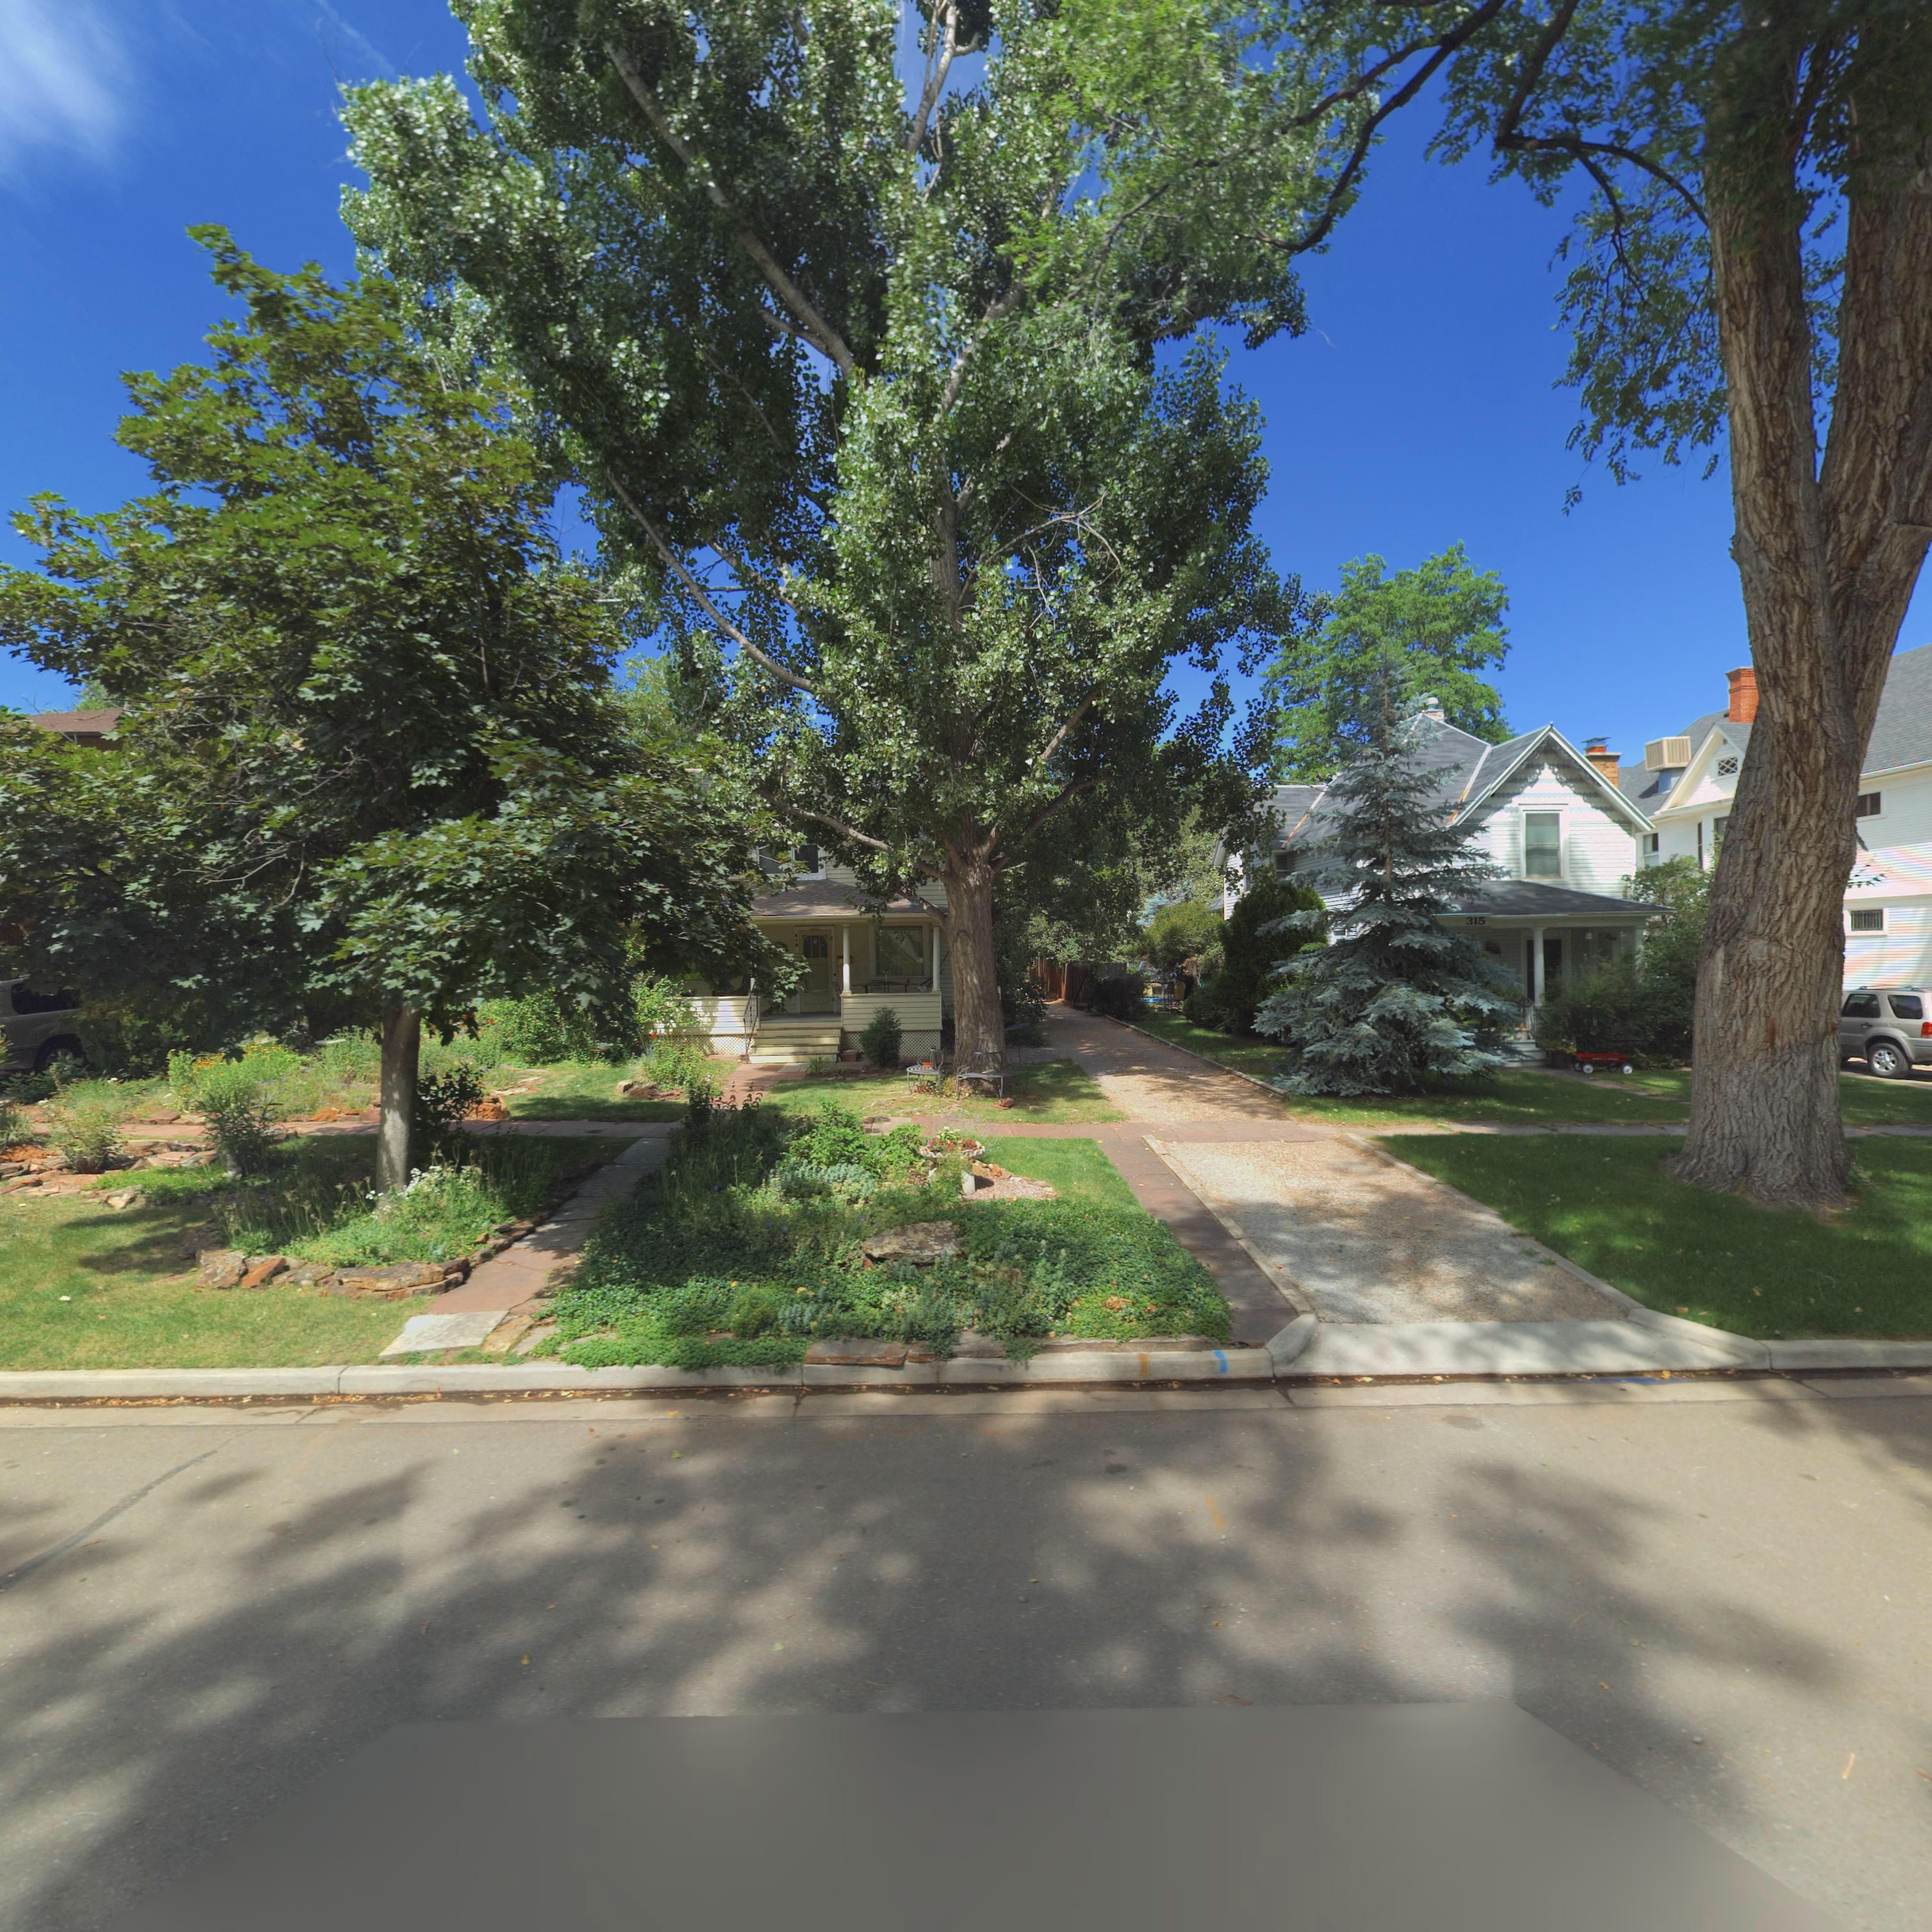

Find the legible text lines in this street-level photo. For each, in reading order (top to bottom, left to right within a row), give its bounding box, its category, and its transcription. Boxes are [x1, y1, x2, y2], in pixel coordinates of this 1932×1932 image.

[1466, 917, 1485, 925] StreetNumber: 315
[794, 933, 797, 947] StreetNumber: *1*